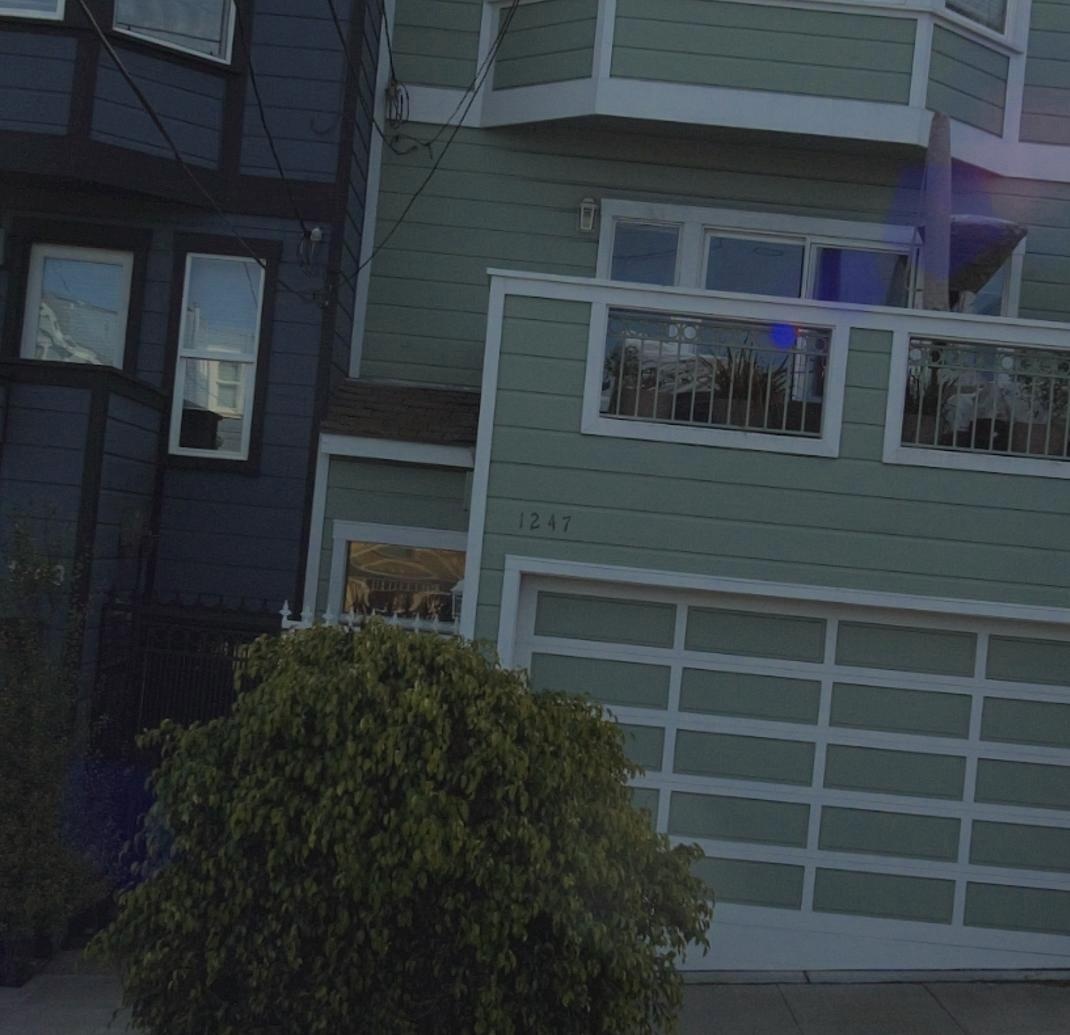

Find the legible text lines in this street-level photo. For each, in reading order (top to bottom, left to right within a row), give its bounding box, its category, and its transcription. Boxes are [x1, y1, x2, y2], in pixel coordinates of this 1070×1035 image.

[517, 510, 573, 534] StreetNumber: 1247